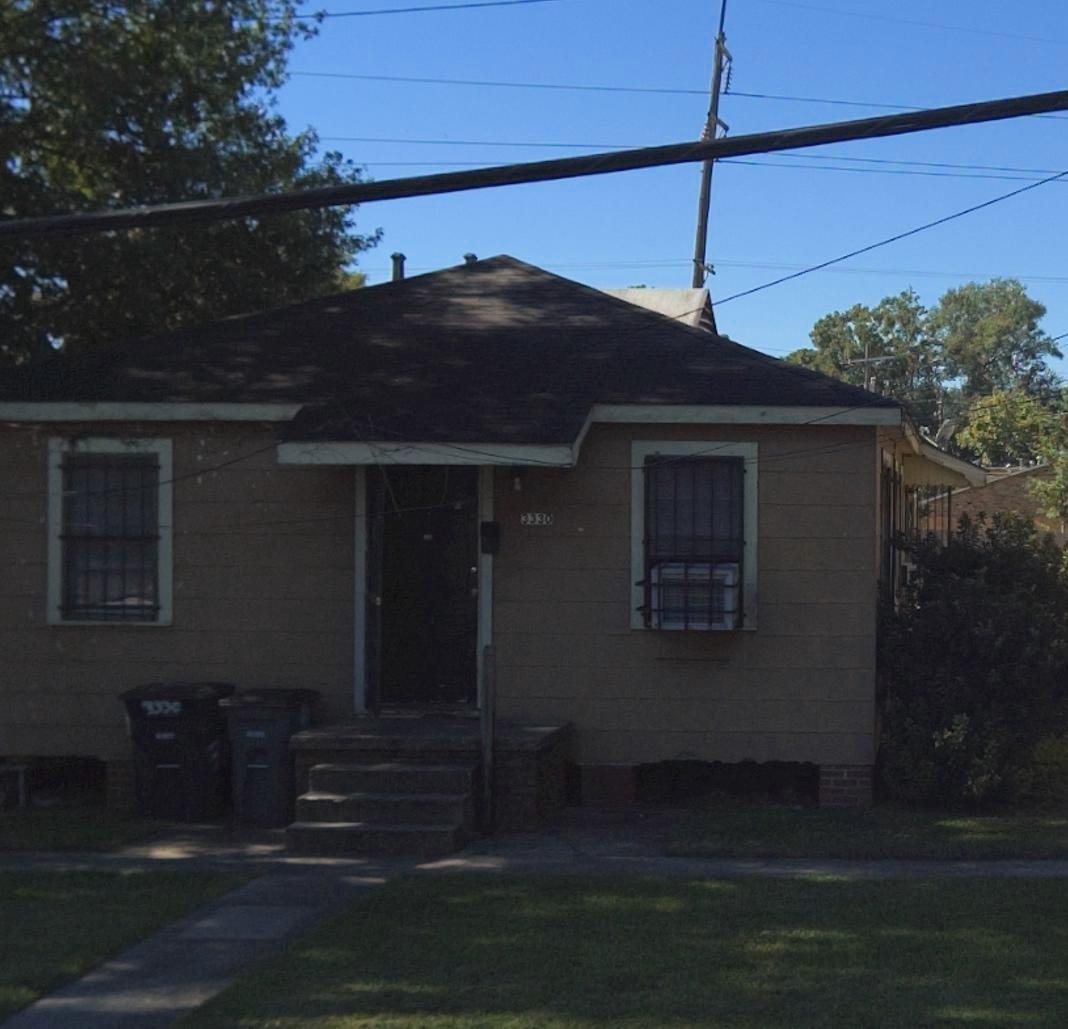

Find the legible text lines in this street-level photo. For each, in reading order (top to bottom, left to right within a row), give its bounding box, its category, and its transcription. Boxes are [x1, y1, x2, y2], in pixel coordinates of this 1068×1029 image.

[520, 512, 553, 525] StreetNumber: 3330
[139, 700, 182, 716] StreetNumber: 3330